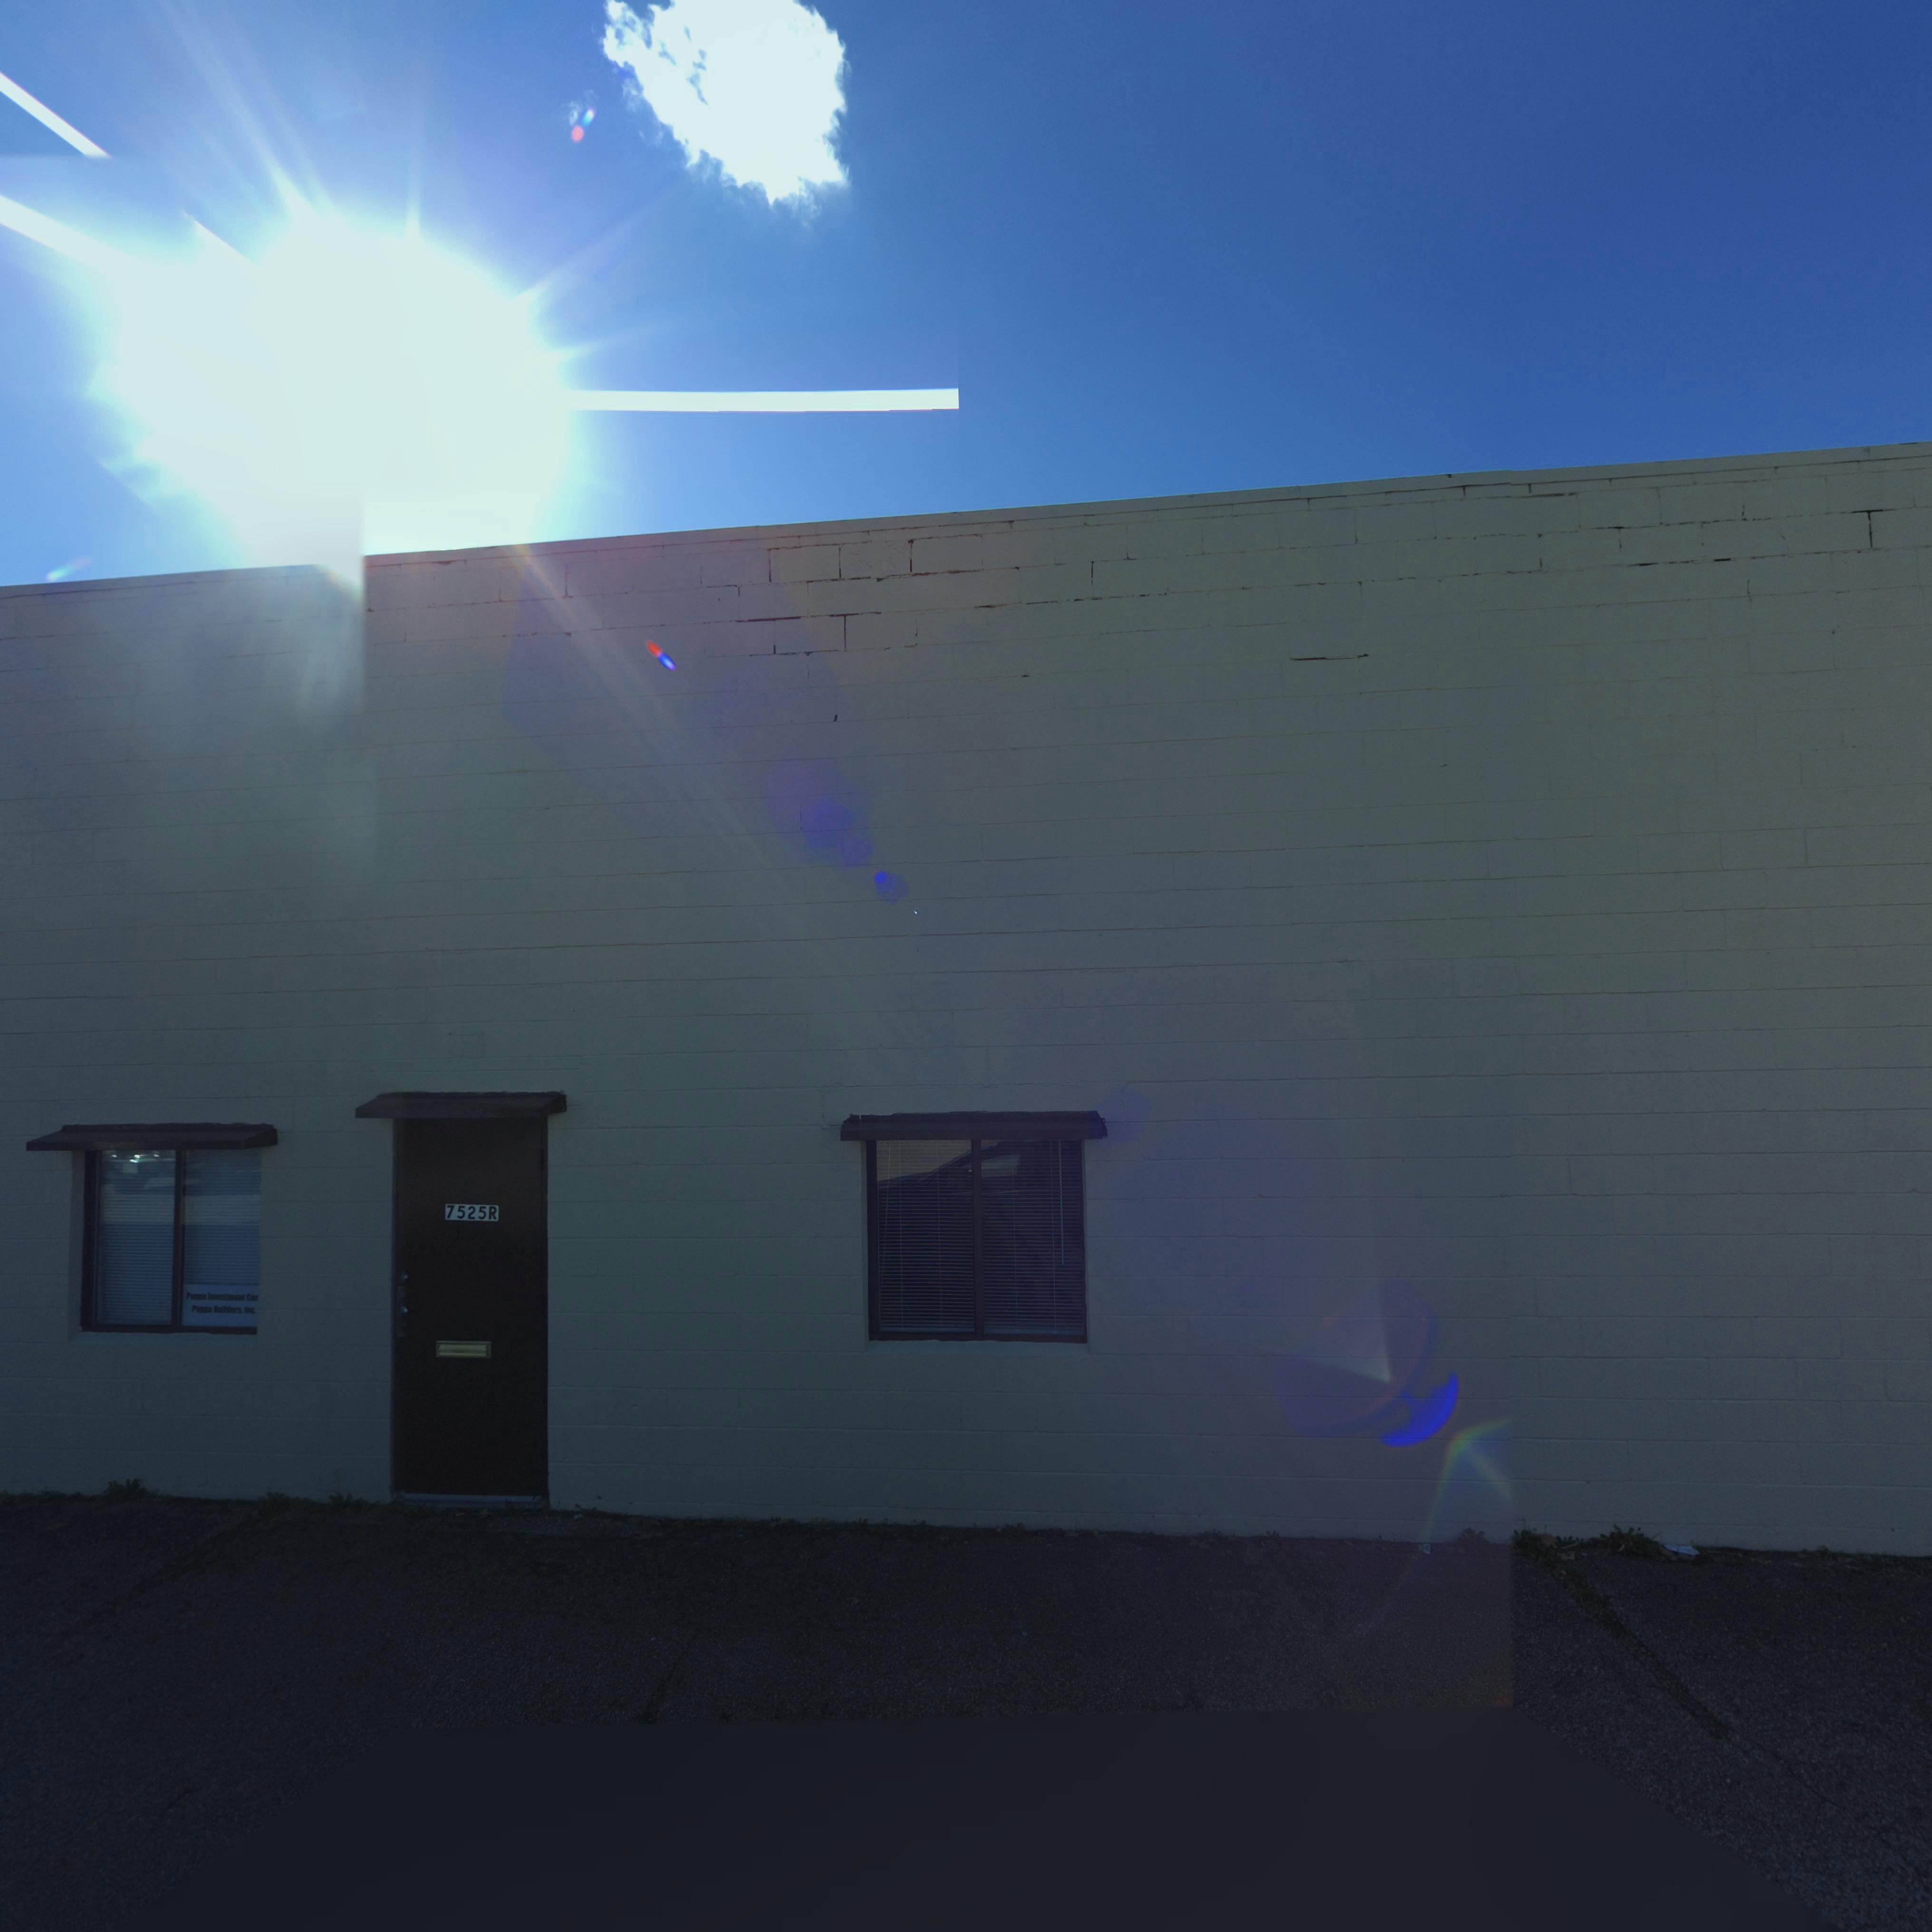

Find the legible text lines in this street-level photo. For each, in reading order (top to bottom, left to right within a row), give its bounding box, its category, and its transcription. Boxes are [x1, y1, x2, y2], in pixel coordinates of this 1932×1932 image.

[445, 1204, 488, 1220] StreetNumber: 7525